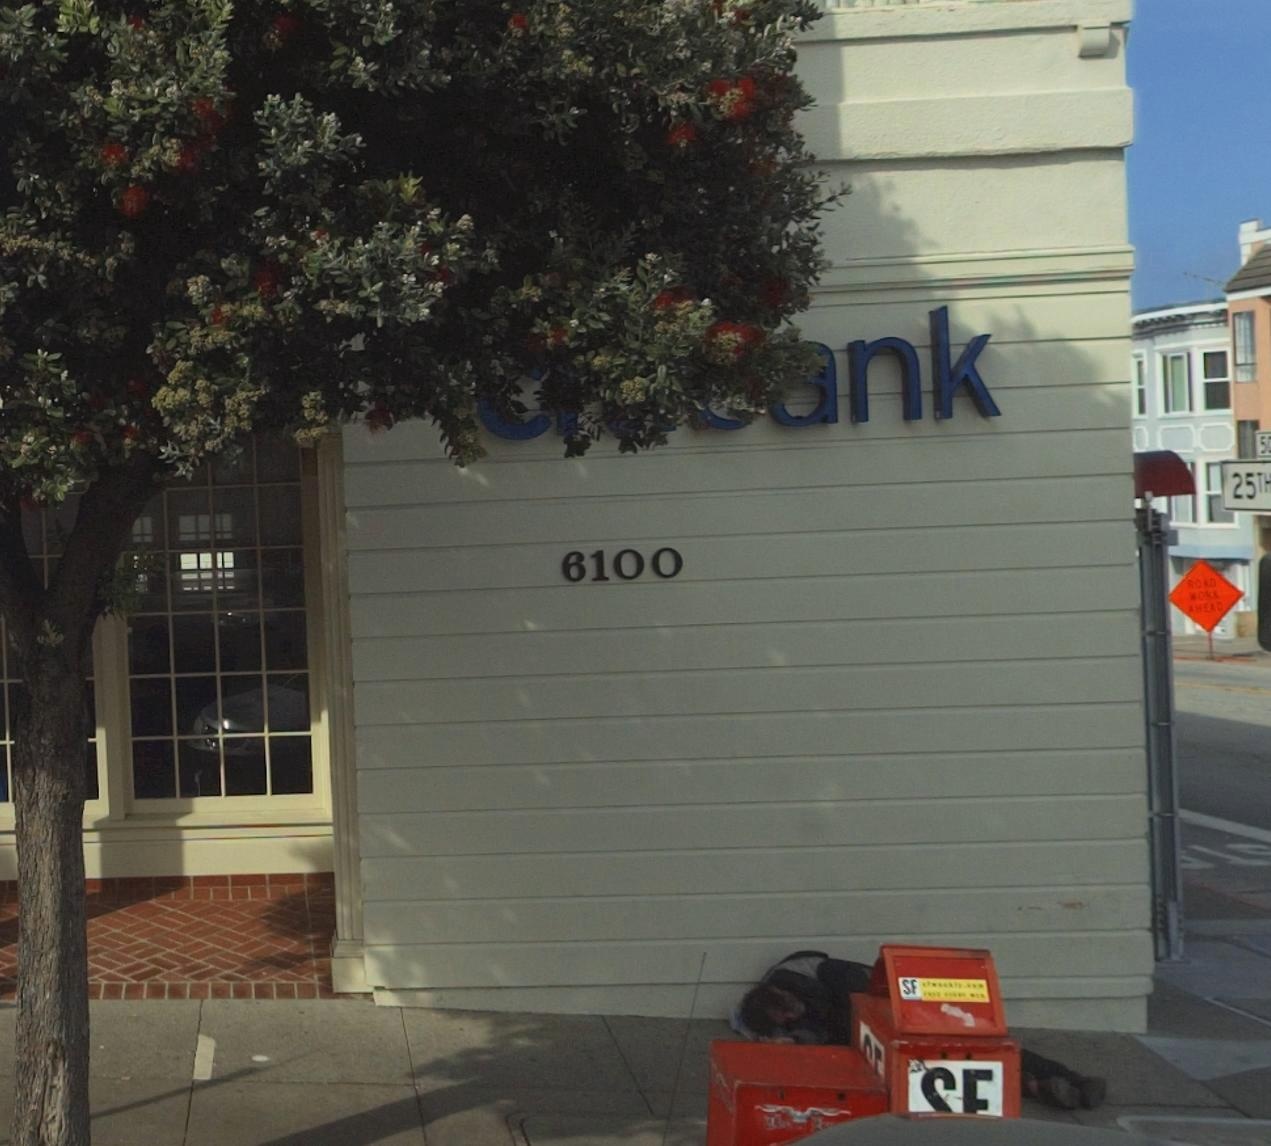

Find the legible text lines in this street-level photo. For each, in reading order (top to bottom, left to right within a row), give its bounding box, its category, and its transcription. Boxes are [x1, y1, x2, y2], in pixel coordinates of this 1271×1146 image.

[848, 300, 1013, 426] BusinessName: nk
[1257, 432, 1270, 457] StreetNumberRange: 5
[1228, 468, 1265, 504] StreetName: 25T
[559, 546, 685, 584] StreetNumber: 6100
[1184, 576, 1219, 591] None: ROAD
[1188, 588, 1224, 603] None: WORK
[1187, 601, 1225, 613] None: AHEAD
[900, 977, 919, 997] None: SF